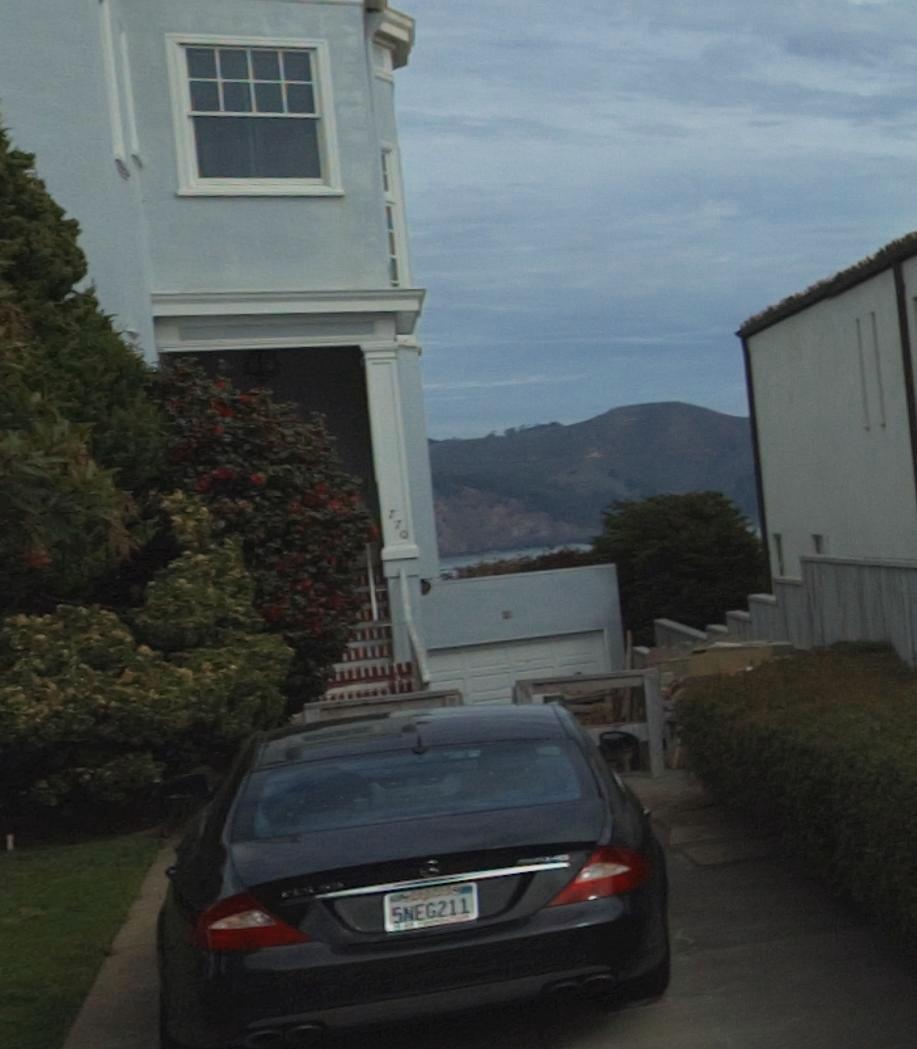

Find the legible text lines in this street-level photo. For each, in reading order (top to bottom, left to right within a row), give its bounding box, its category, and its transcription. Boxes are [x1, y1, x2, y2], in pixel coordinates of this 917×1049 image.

[382, 507, 411, 542] StreetNumber: 770
[391, 896, 471, 925] None: 5NEG211